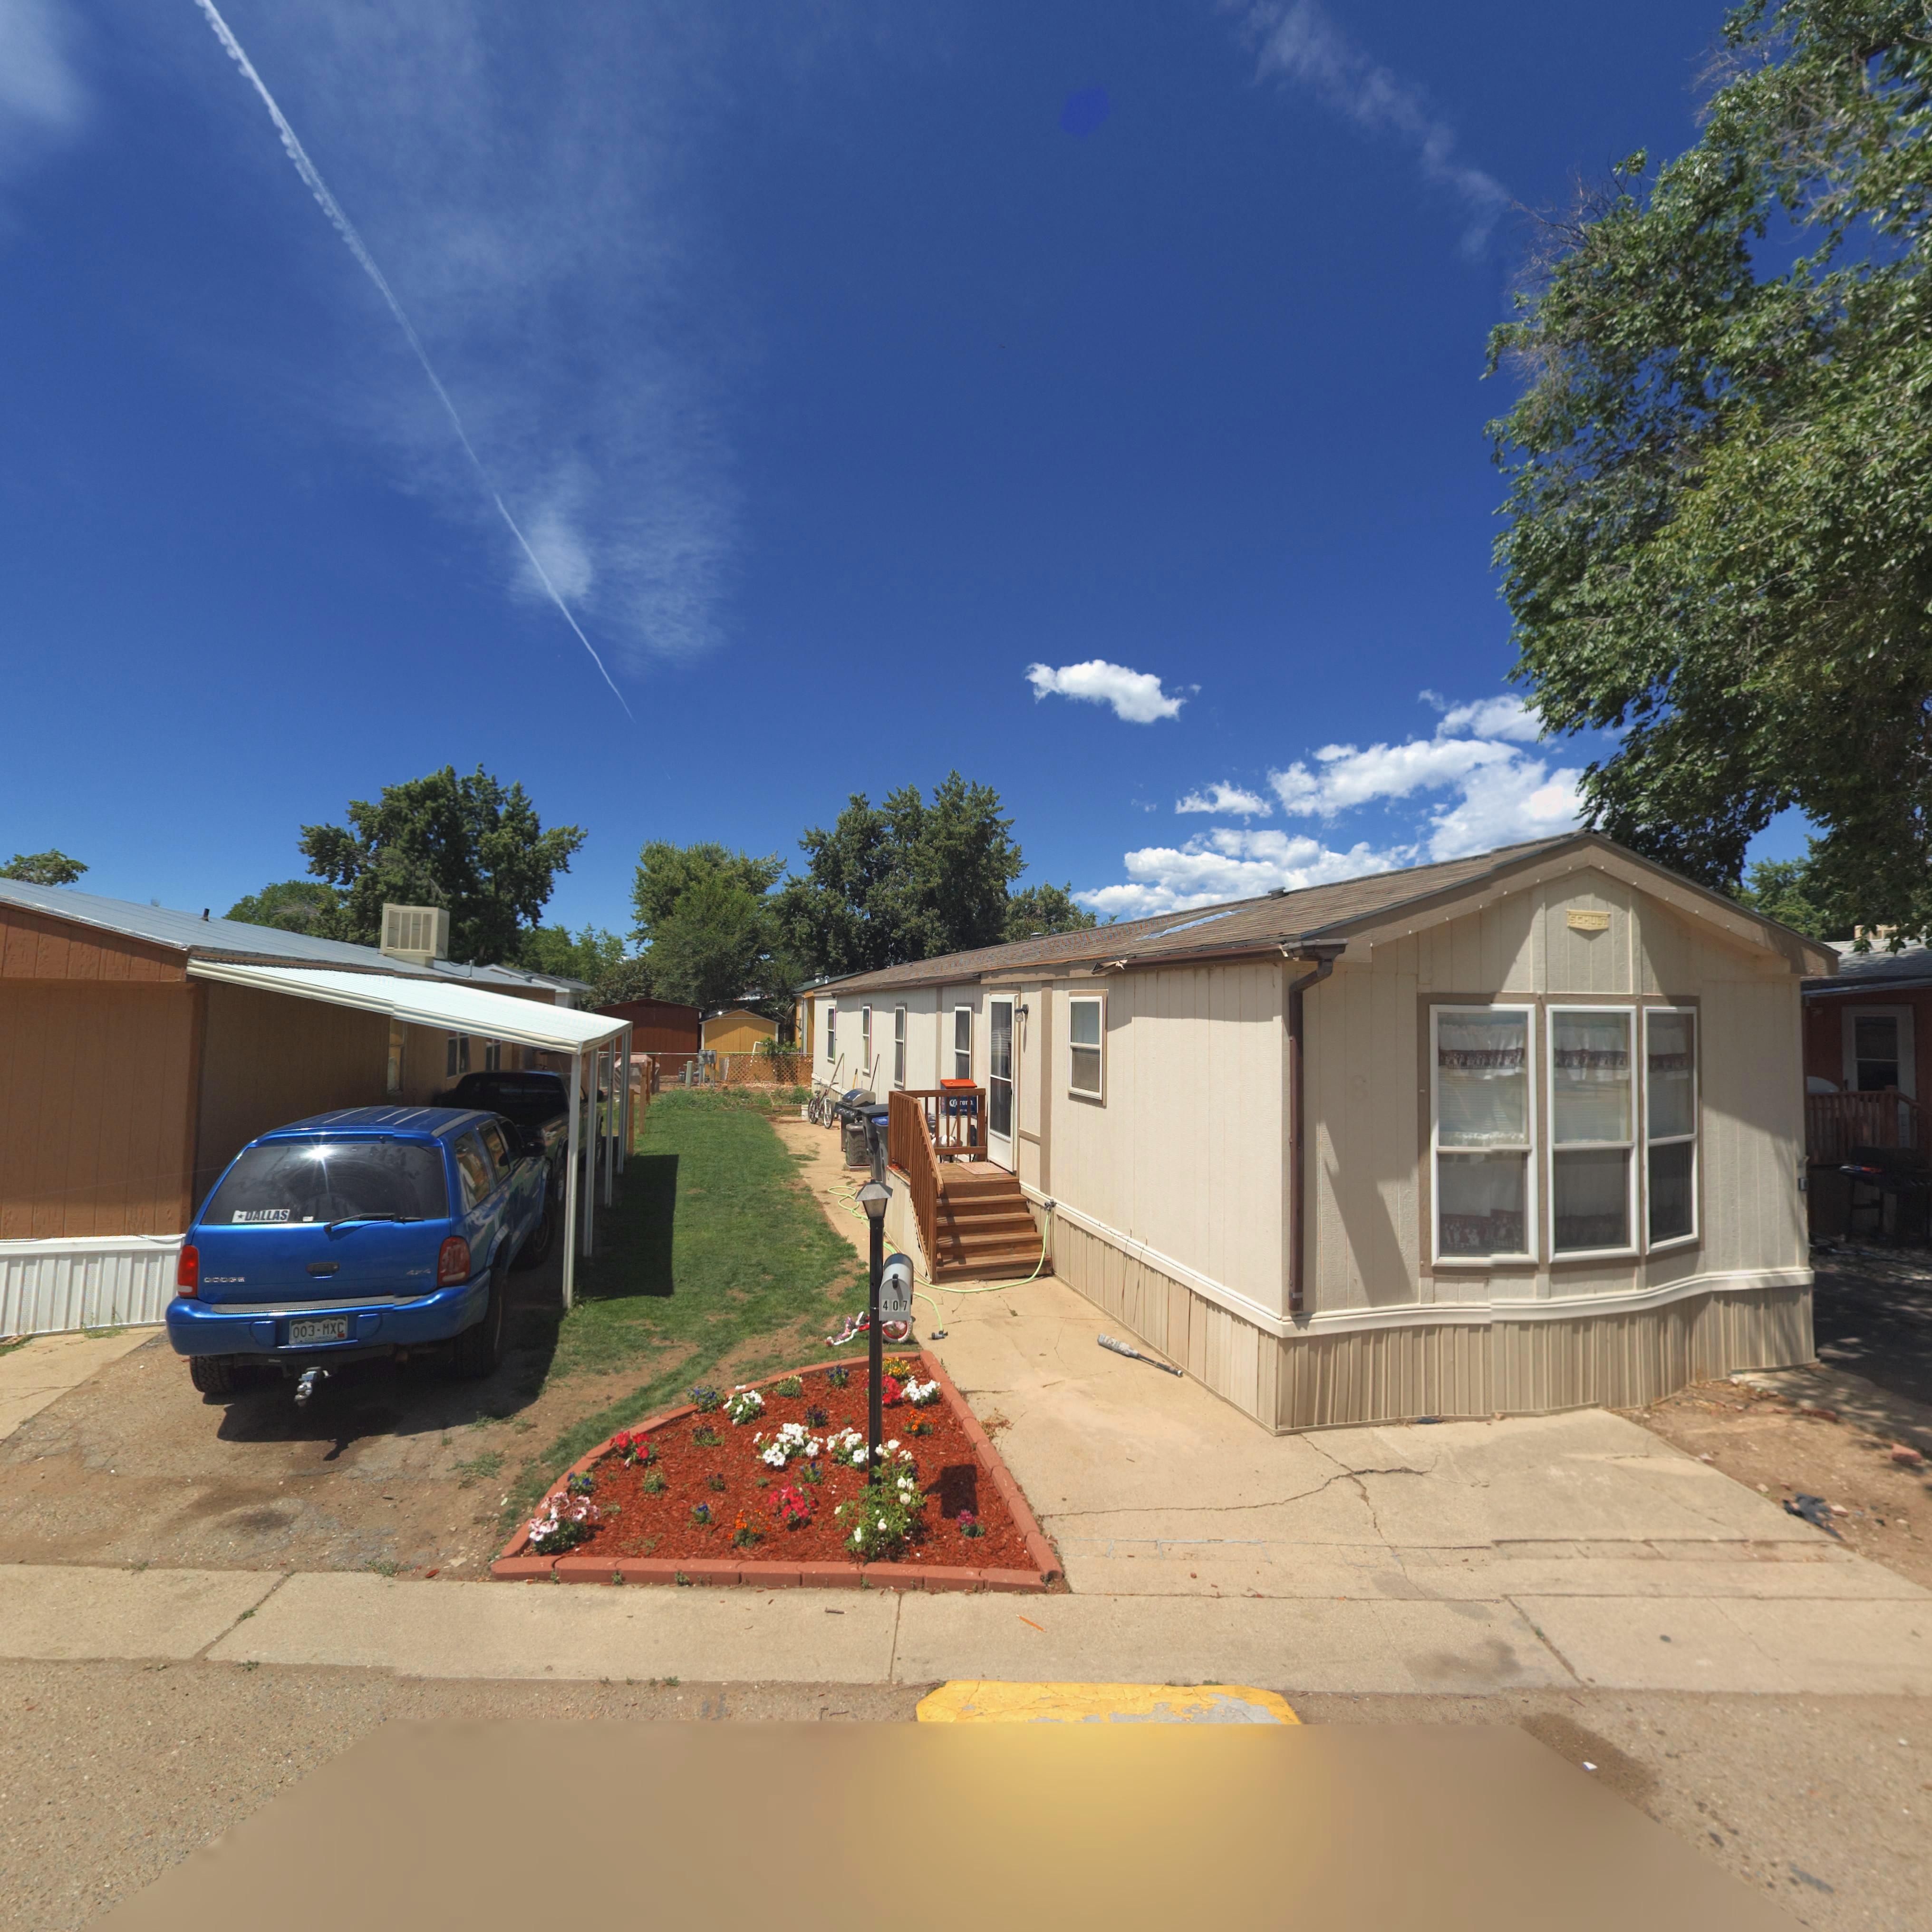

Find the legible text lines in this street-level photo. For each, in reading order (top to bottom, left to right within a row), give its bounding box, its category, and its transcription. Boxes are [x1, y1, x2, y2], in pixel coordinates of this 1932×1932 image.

[882, 1300, 908, 1312] StreetNumber: 407